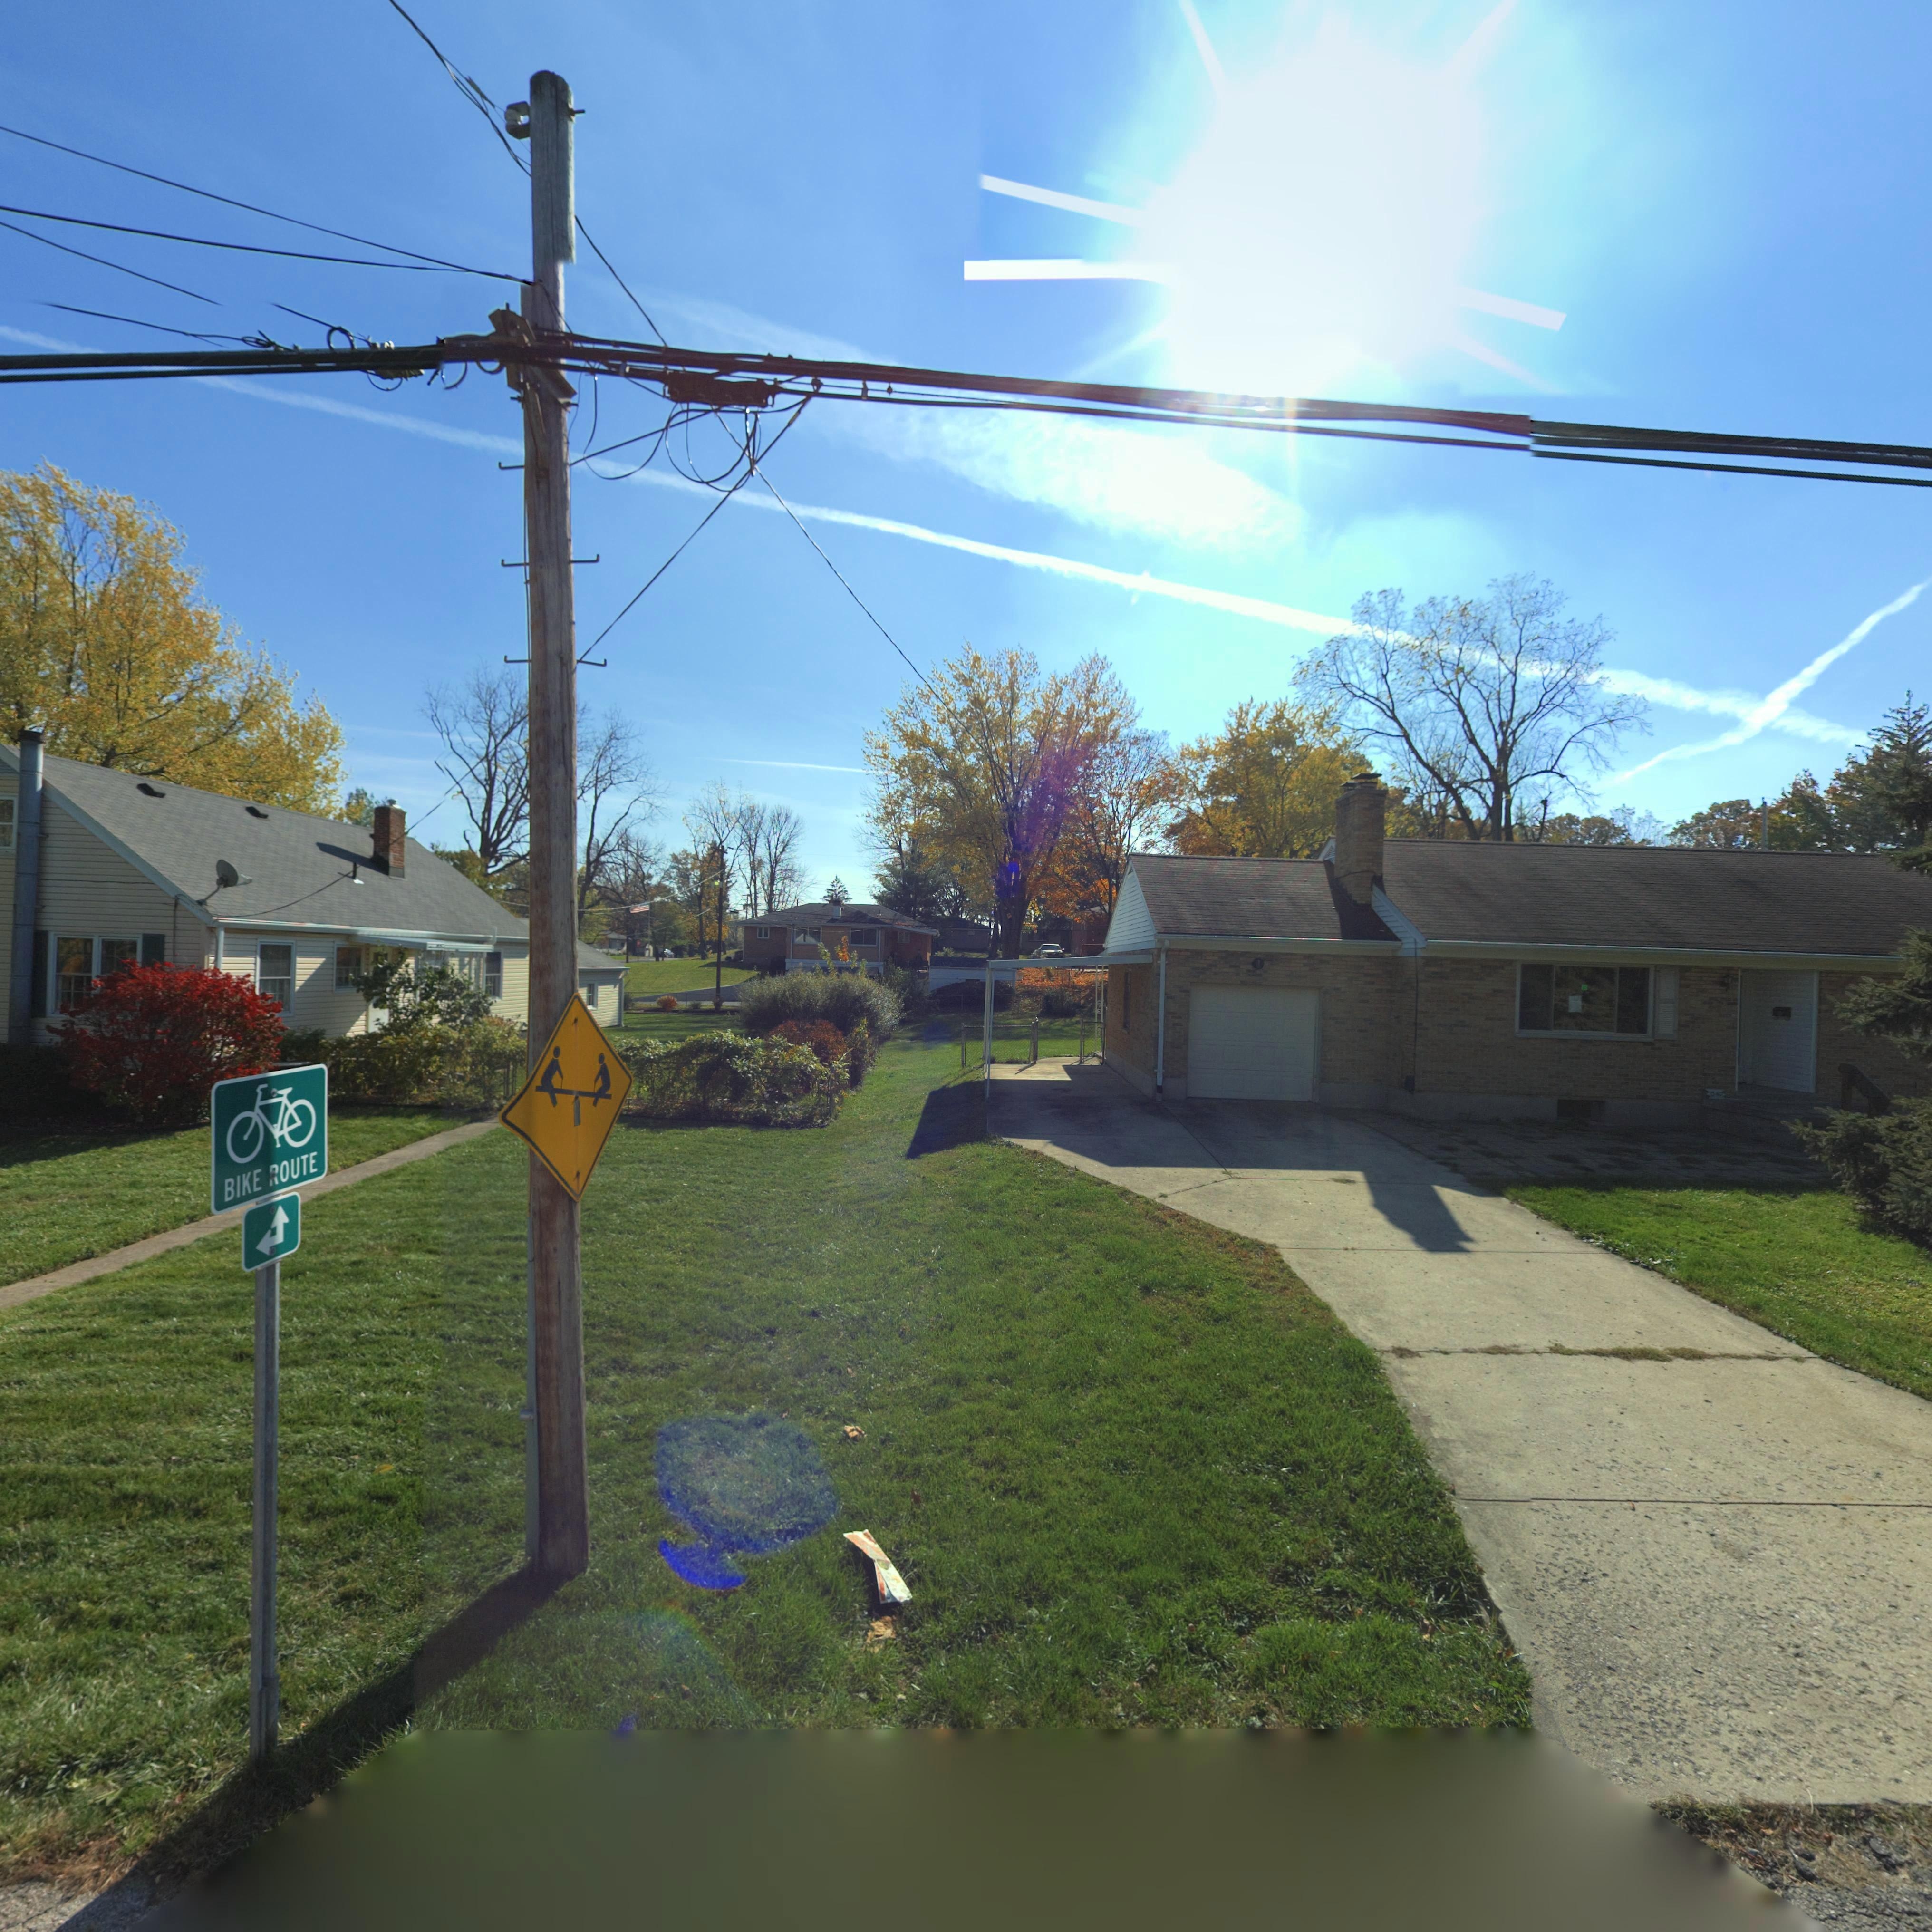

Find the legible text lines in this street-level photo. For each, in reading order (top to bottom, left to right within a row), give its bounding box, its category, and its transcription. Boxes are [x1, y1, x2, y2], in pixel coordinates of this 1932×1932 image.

[222, 1149, 319, 1206] None: BIKE ROUTE